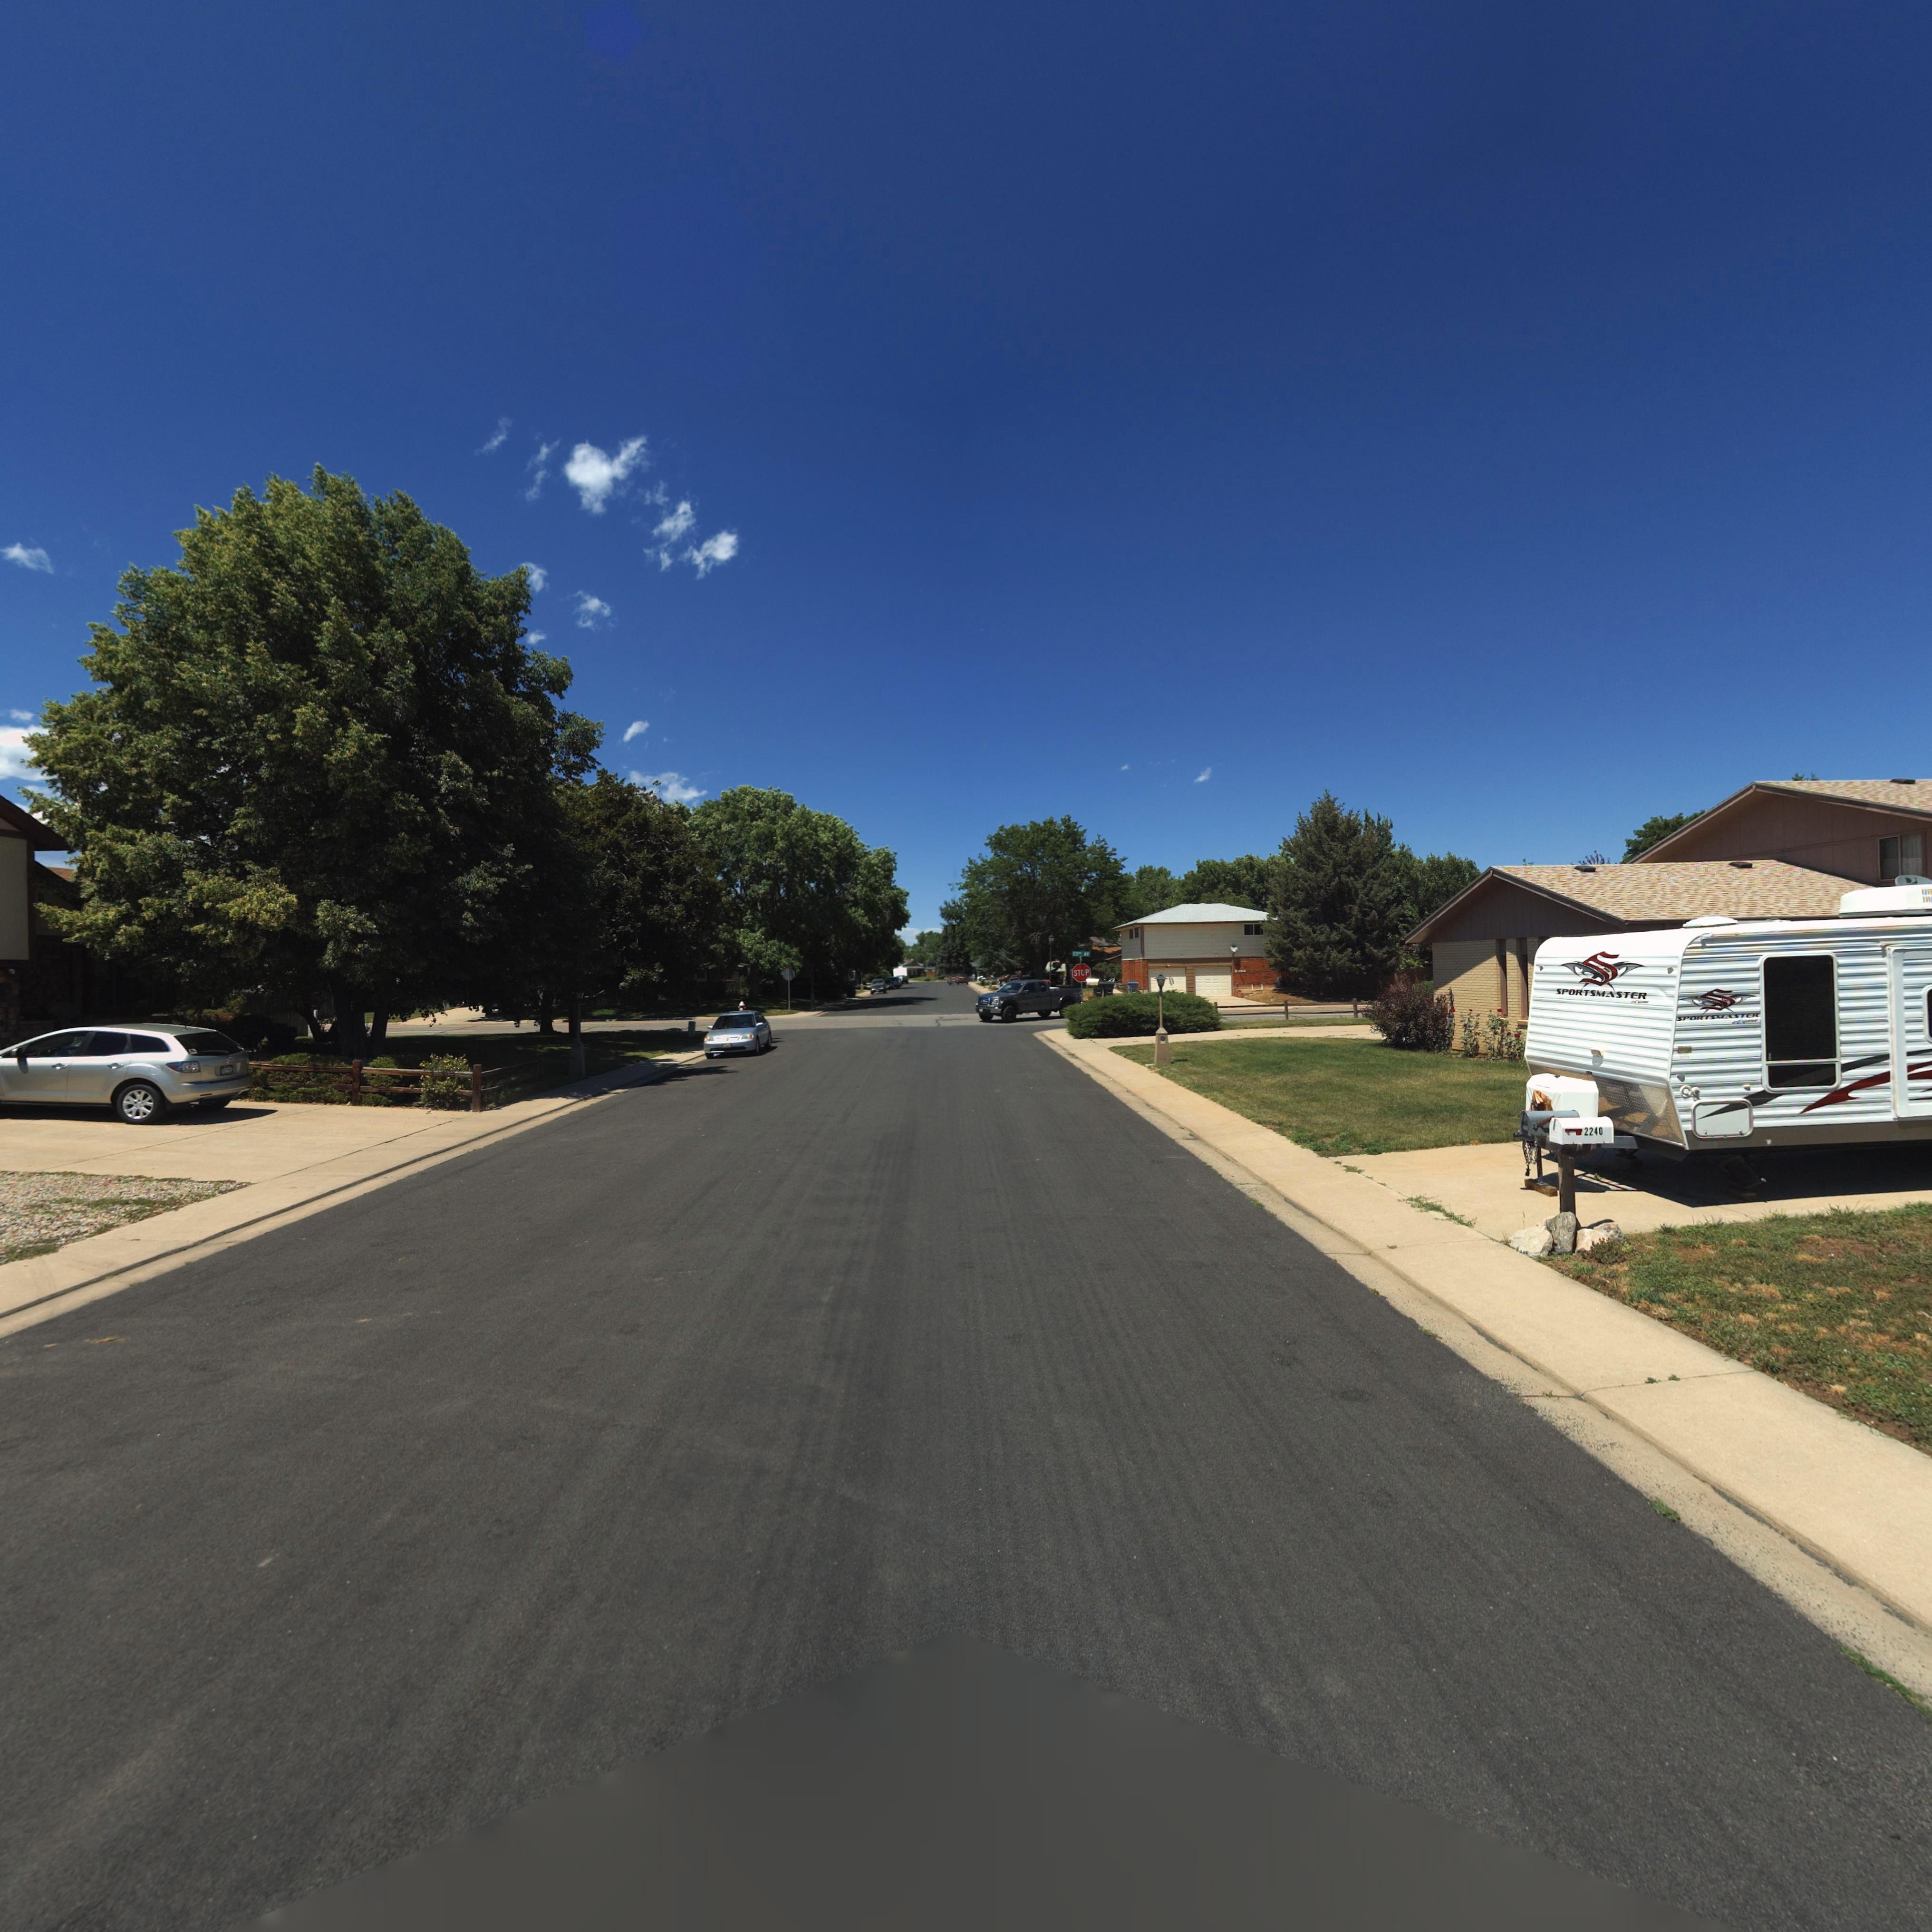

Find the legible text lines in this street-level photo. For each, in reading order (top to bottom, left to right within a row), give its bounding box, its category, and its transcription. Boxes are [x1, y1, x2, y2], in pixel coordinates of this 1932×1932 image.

[1072, 951, 1089, 956] StreetName: *3** **
[1235, 969, 1246, 972] StreetNumber: 2**2
[1583, 1126, 1603, 1136] StreetNumber: 2240